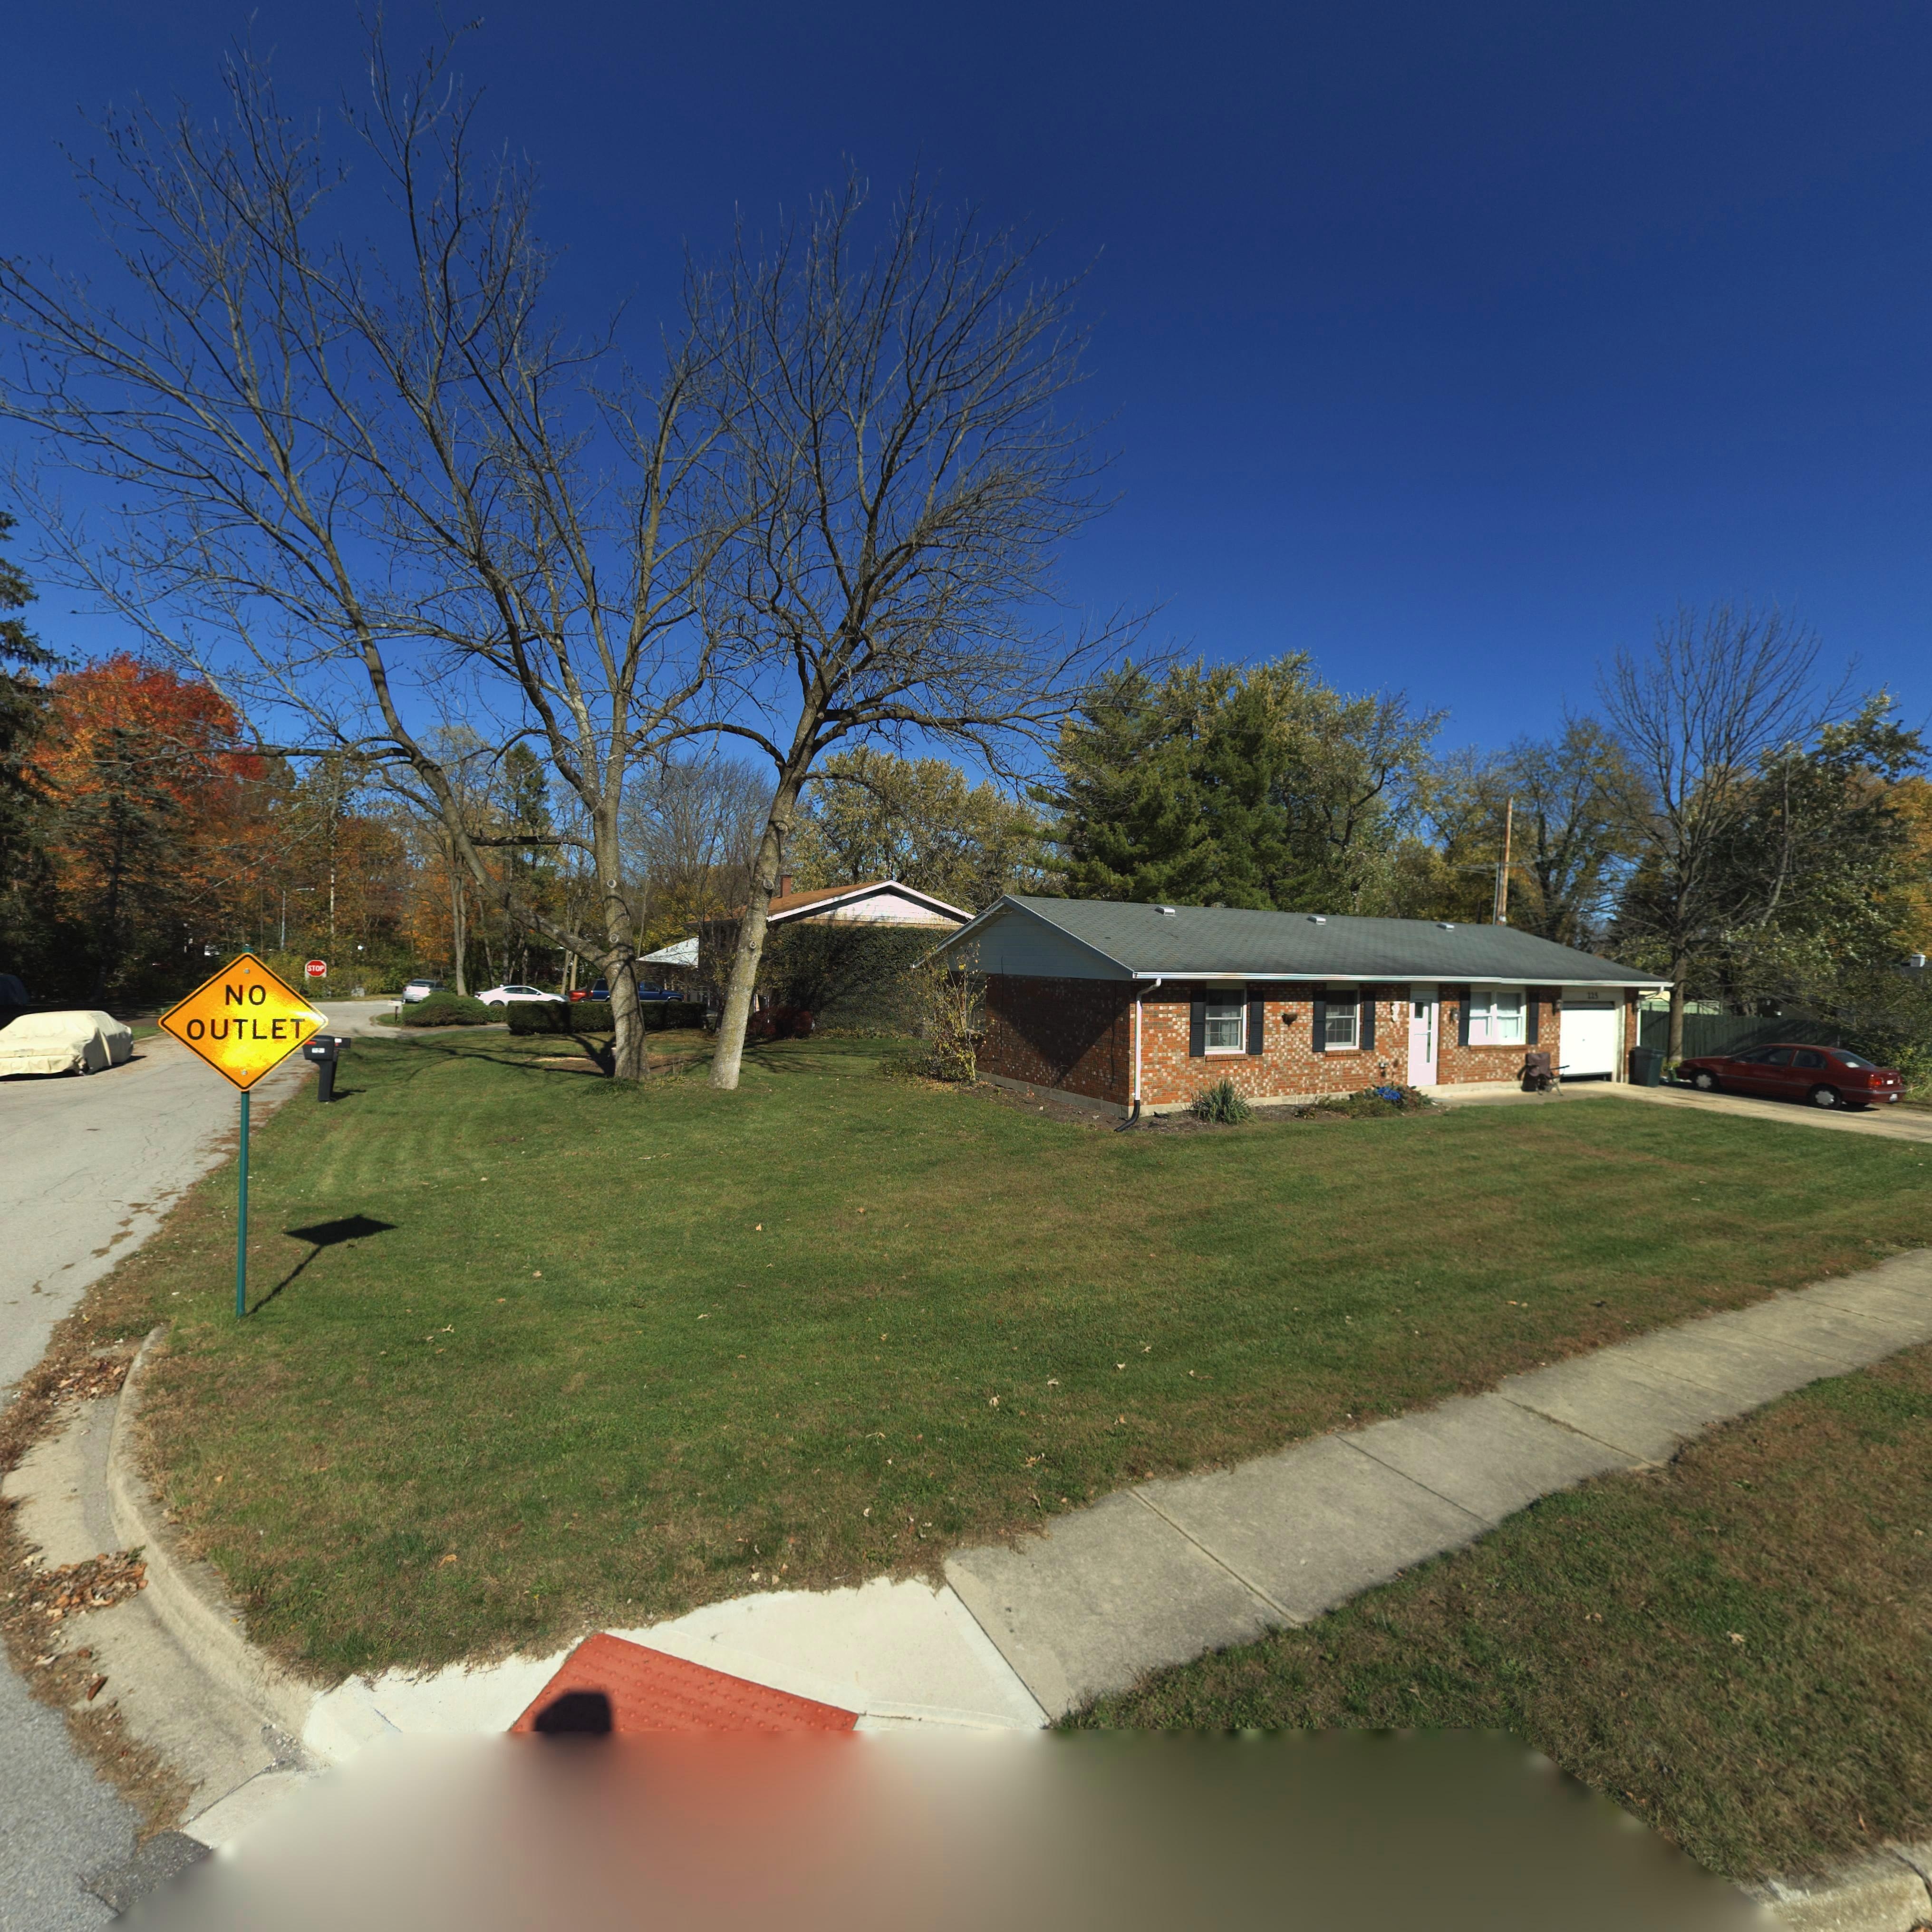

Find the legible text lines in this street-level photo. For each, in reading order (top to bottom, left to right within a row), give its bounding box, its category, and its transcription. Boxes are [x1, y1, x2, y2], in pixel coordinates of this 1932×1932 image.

[1586, 992, 1599, 1000] StreetNumber: 225